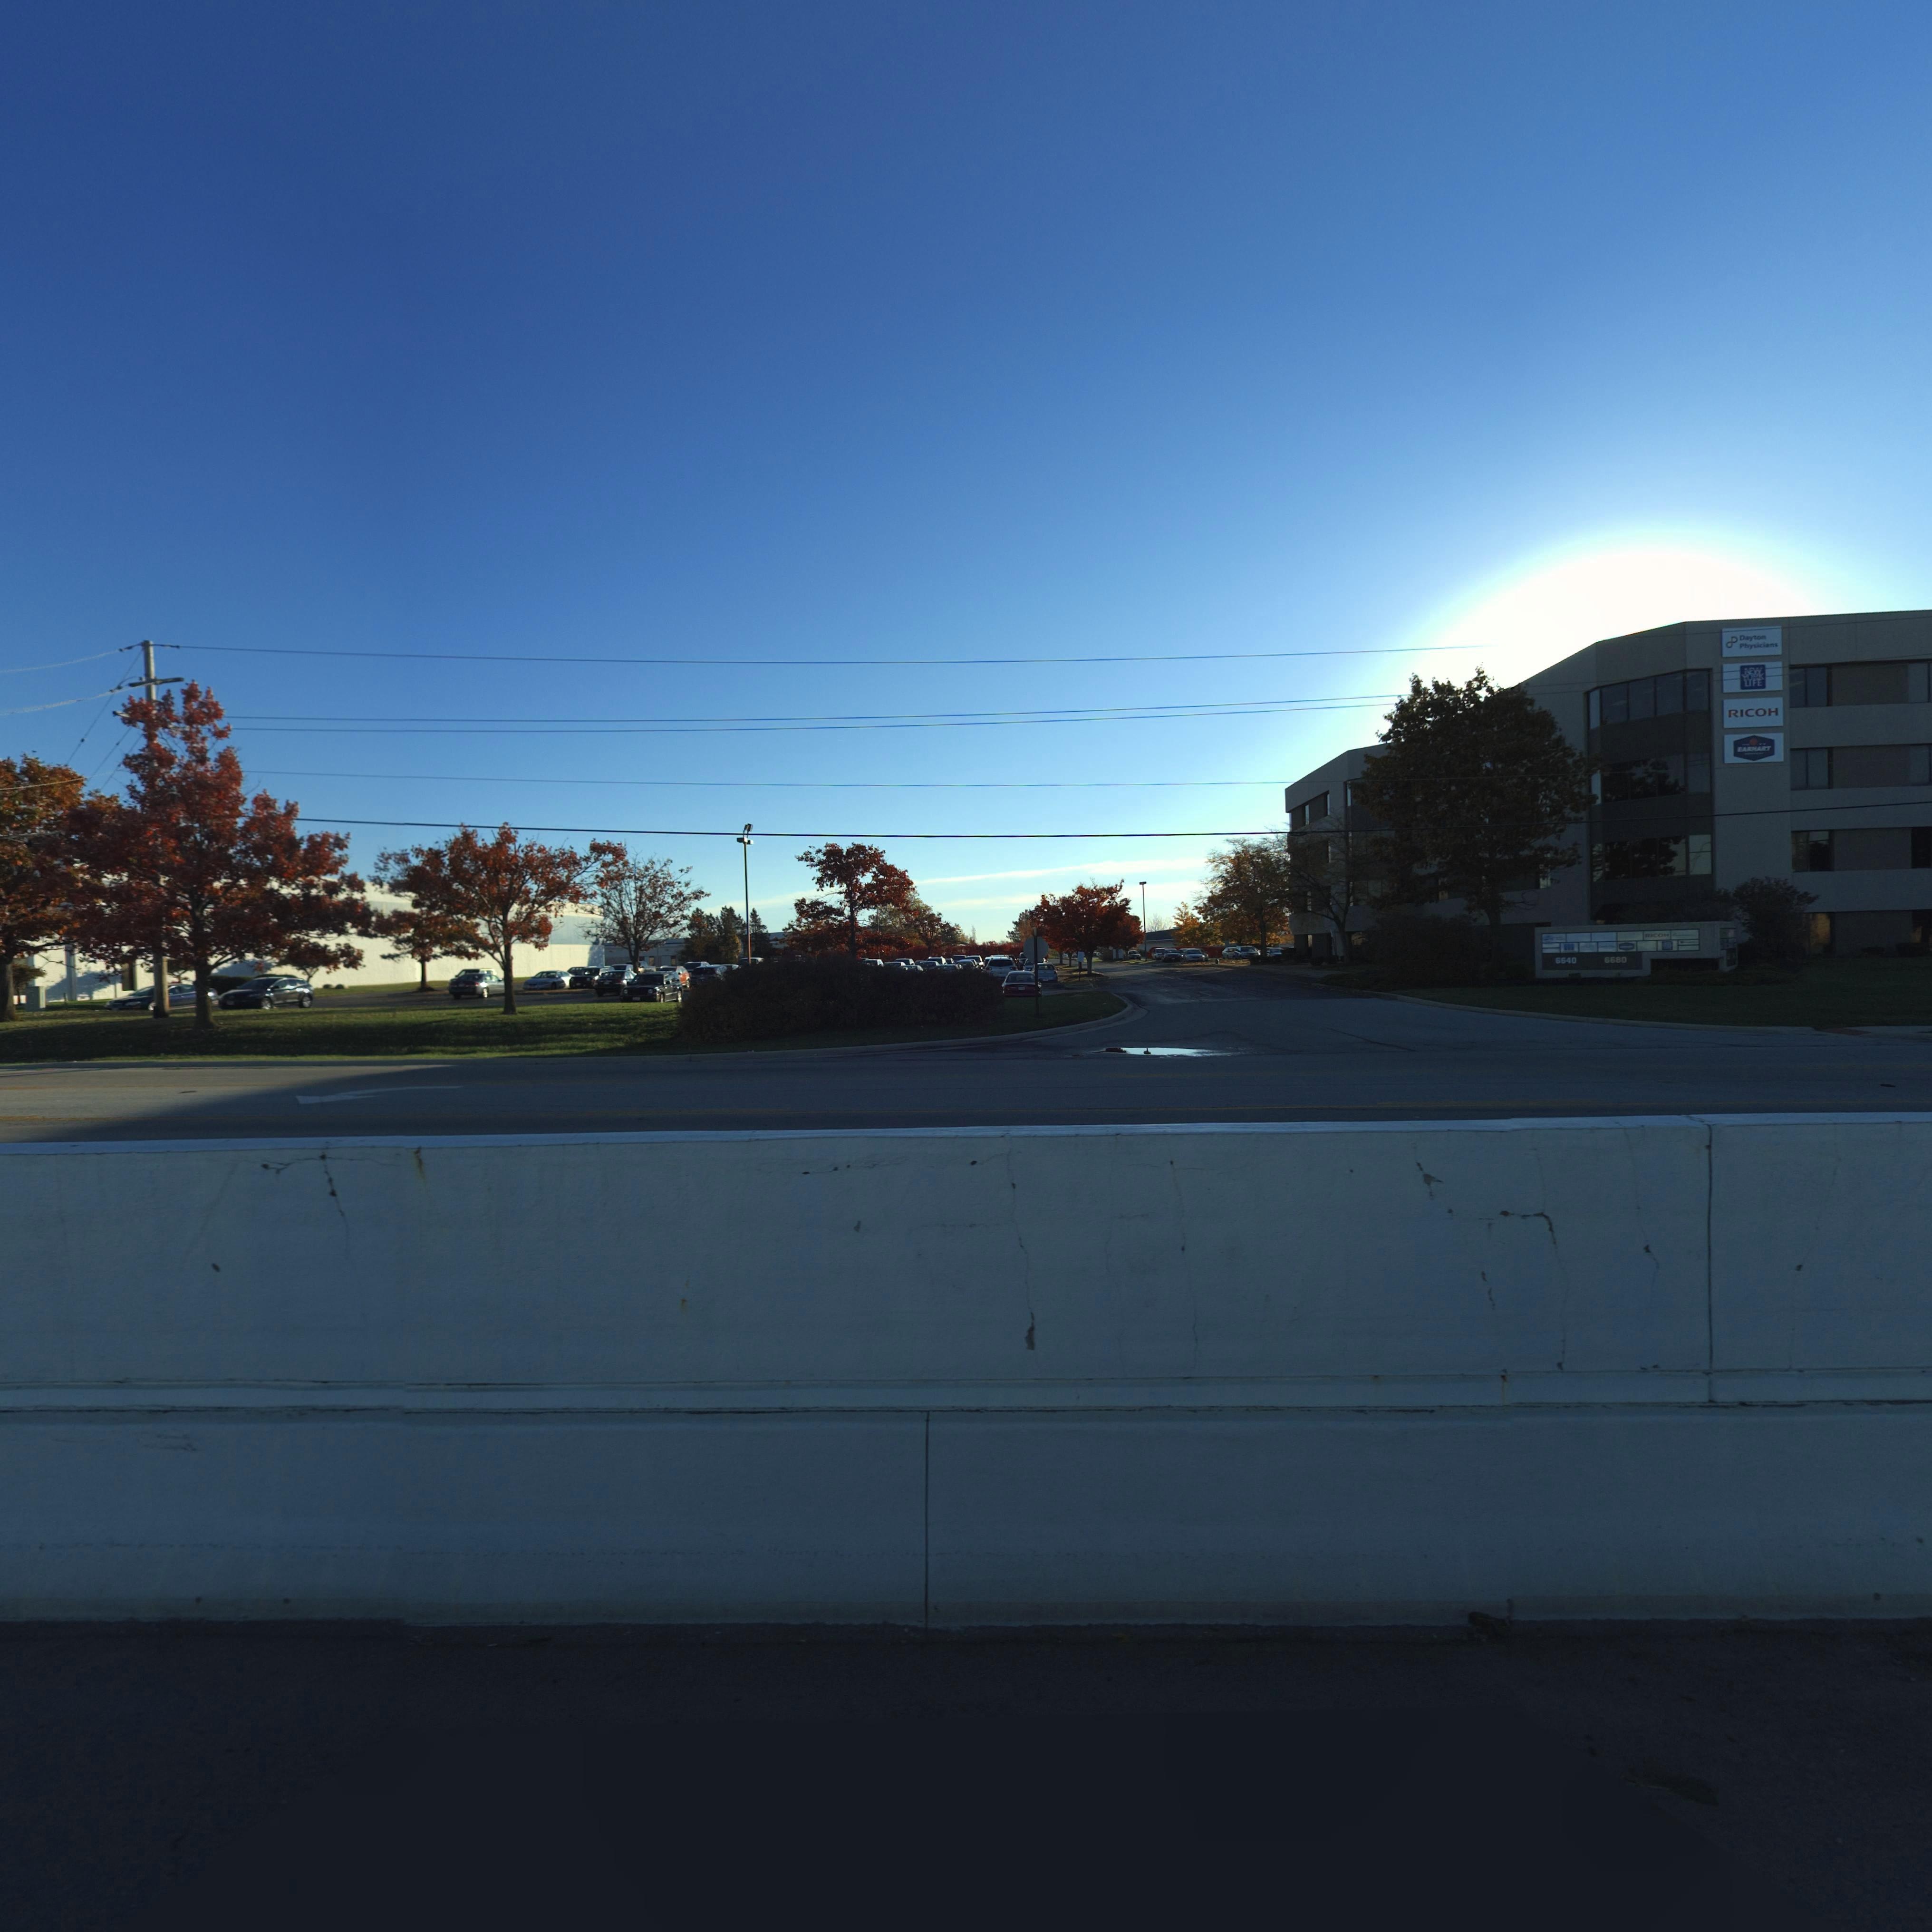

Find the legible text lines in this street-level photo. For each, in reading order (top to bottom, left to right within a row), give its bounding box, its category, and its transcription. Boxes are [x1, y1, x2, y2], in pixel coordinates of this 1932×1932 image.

[1739, 633, 1767, 641] None: Dayton
[1739, 641, 1779, 649] None: Physicians
[1744, 666, 1763, 676] None: NEW
[1741, 672, 1764, 681] None: YORK
[1743, 678, 1765, 687] None: LIFE
[1727, 706, 1778, 719] None: RICOH
[1737, 744, 1772, 753] None: EARHART
[1554, 956, 1577, 965] StreetNumber: 6640
[1604, 955, 1628, 965] StreetNumber: 6680